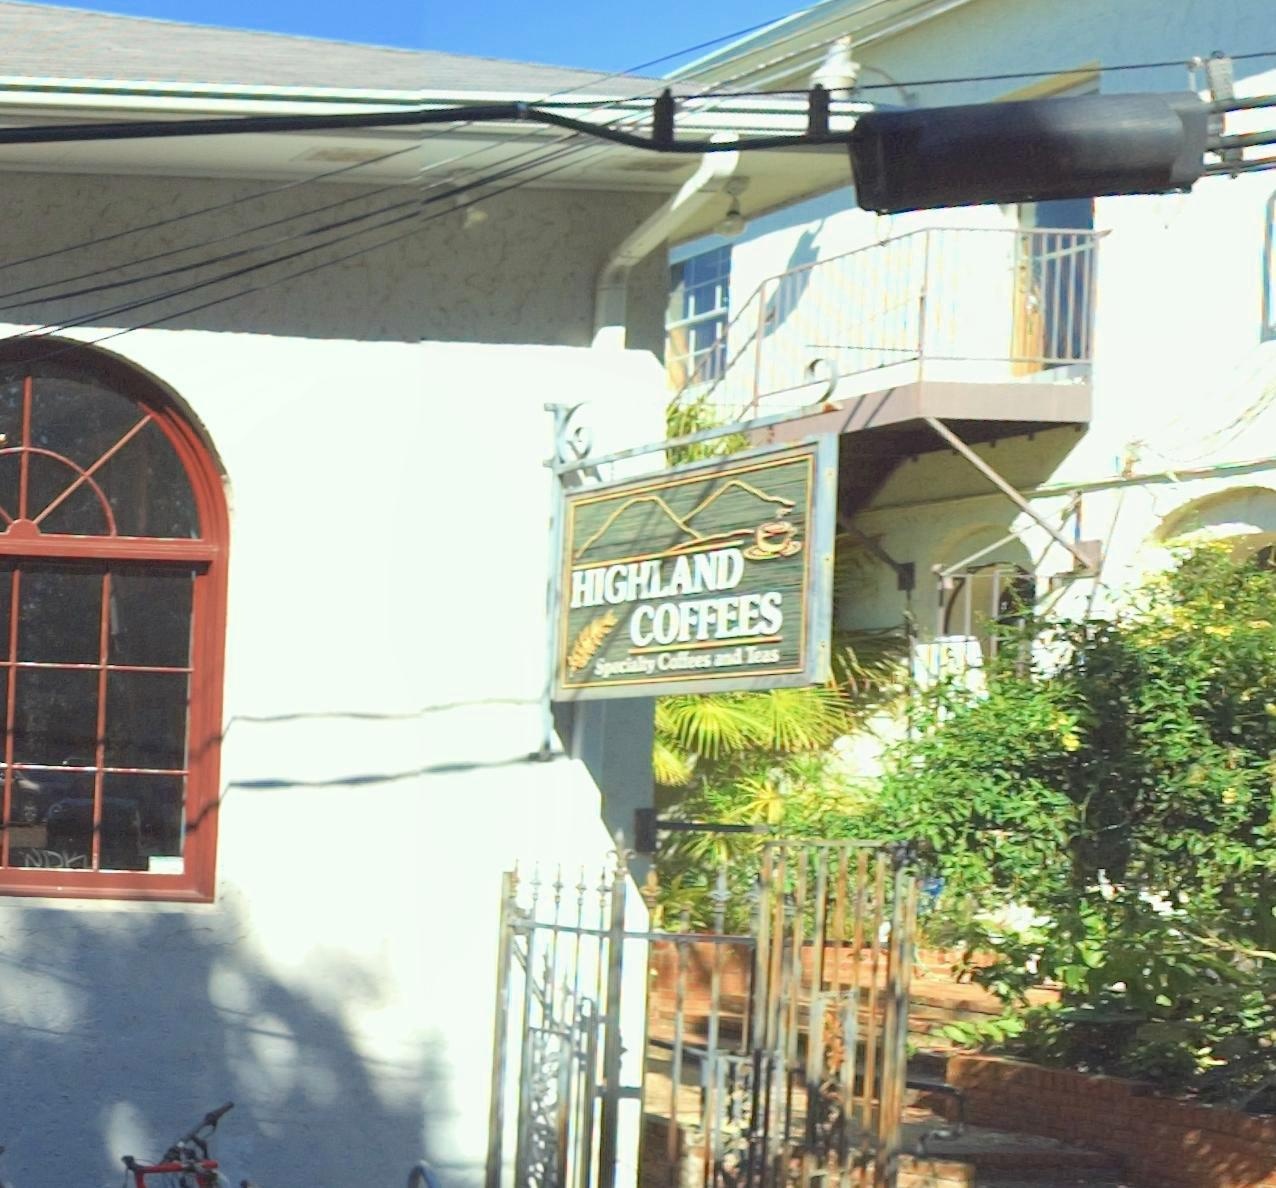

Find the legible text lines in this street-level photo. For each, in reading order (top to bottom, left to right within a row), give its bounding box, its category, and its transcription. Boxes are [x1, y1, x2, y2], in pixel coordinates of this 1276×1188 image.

[567, 545, 744, 610] BusinessName: HIGHLAND
[629, 589, 785, 648] BusinessName: COFFEES
[591, 644, 782, 680] None: Specialty Coffees and Teas
[22, 846, 88, 868] None: NDK